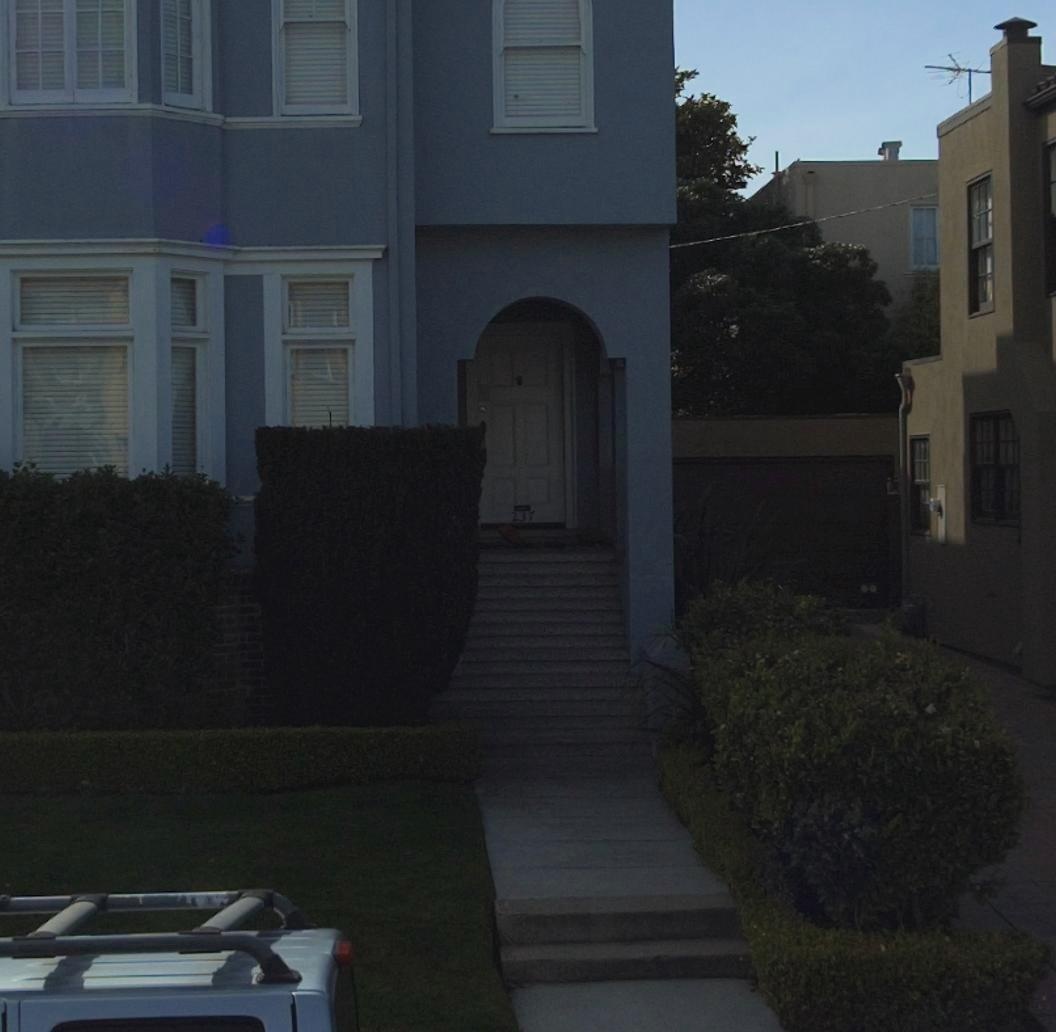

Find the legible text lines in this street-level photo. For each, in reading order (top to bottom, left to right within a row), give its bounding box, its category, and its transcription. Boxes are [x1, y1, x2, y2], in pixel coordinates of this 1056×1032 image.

[510, 509, 537, 524] StreetNumber: 237